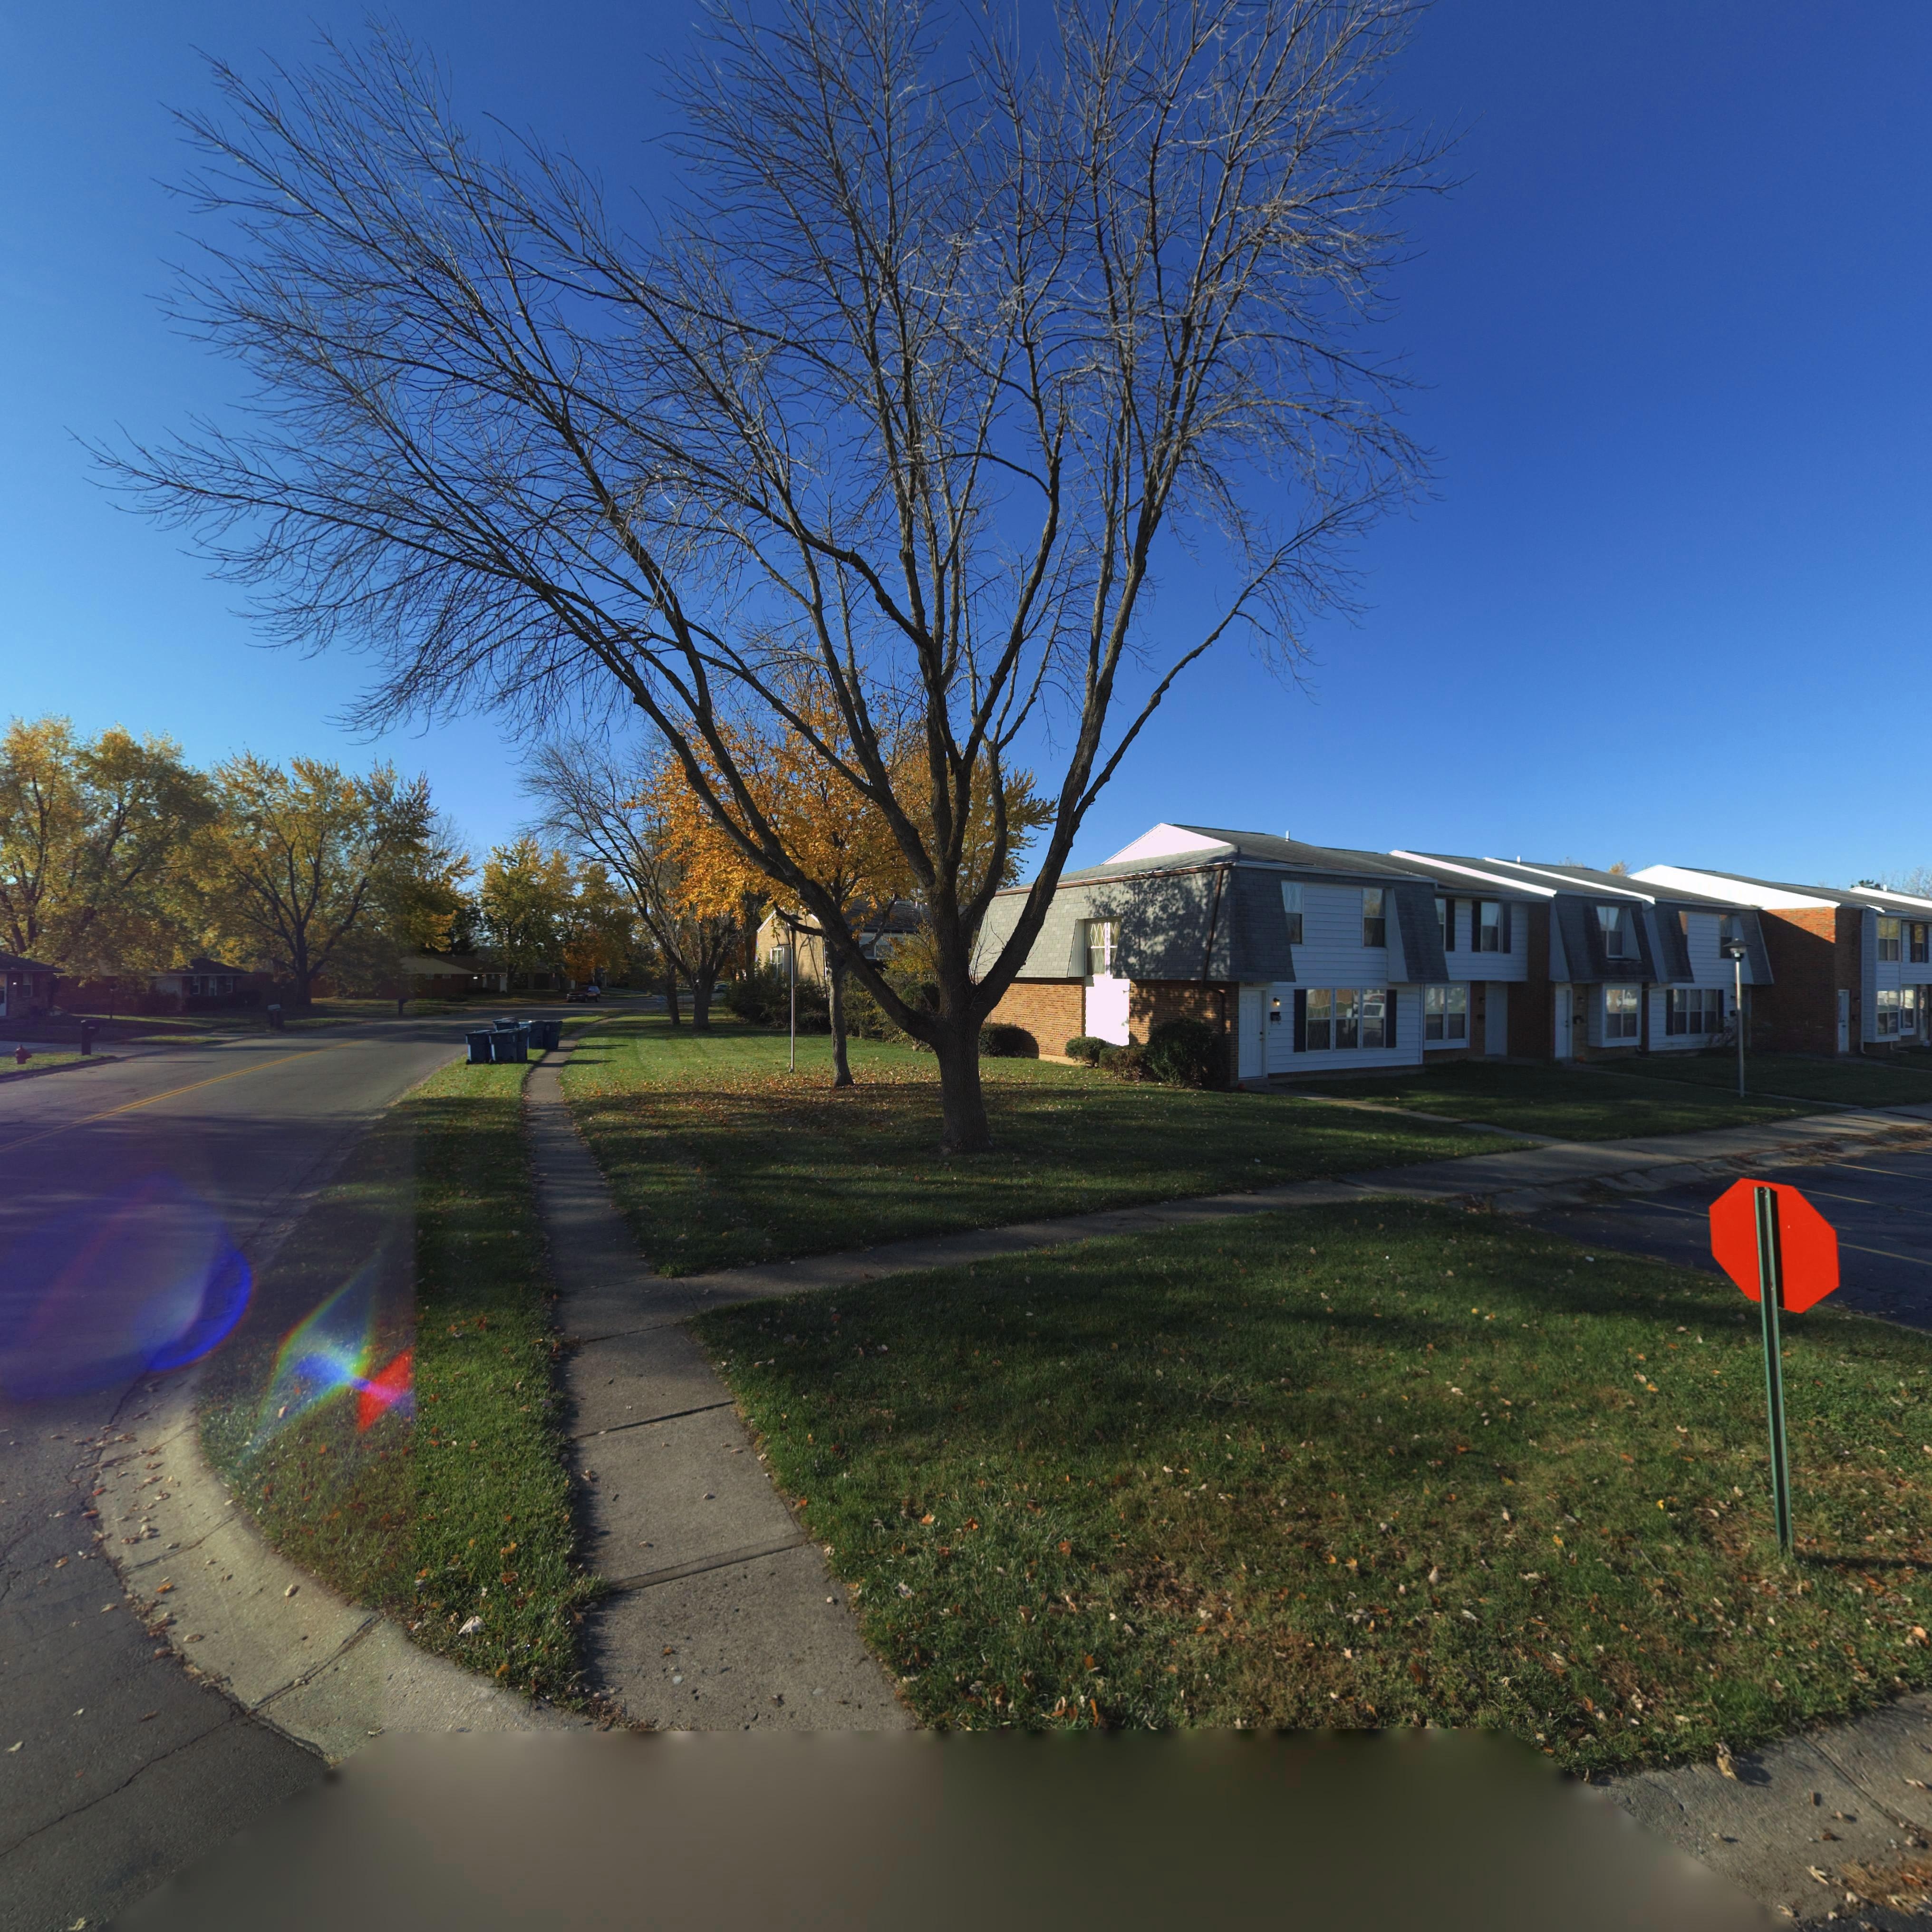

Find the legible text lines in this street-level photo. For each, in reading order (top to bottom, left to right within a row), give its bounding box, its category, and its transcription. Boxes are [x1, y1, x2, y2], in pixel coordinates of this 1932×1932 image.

[1243, 981, 1254, 987] StreetNumber: 77**